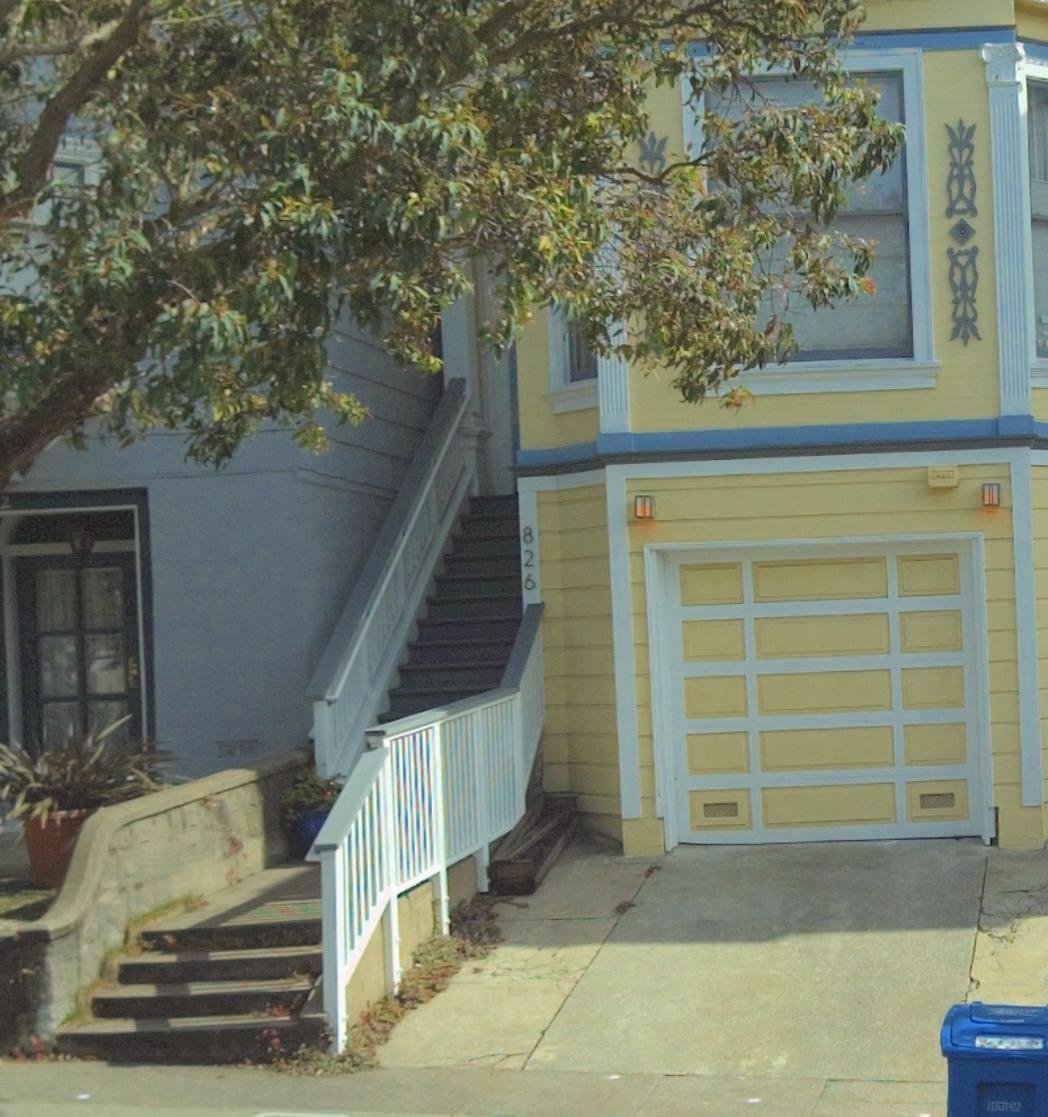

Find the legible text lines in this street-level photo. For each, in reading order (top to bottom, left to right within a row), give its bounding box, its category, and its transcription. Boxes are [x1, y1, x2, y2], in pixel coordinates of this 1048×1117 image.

[520, 523, 538, 594] StreetNumber: 826